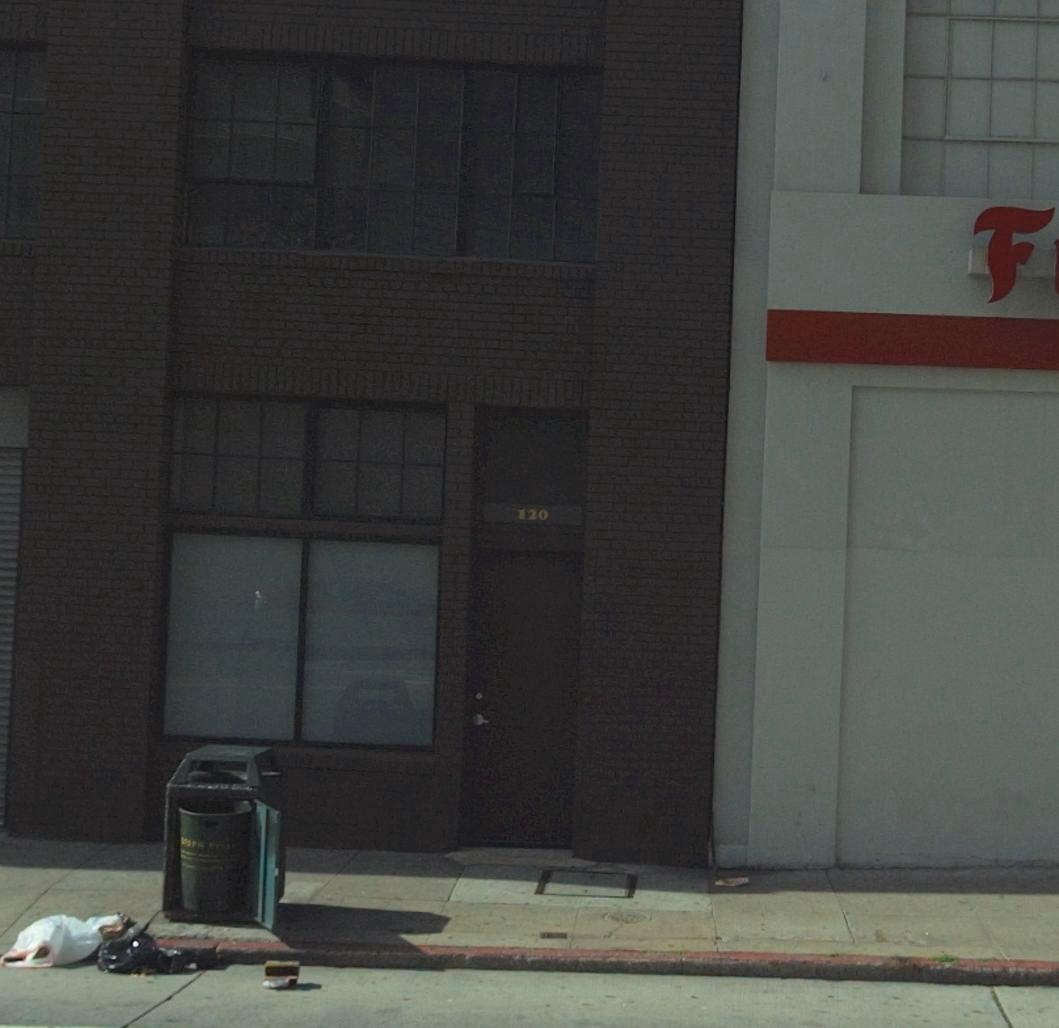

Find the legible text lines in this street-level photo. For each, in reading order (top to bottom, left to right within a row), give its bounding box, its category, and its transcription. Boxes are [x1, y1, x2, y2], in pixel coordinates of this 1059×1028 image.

[969, 199, 1059, 311] None: F
[514, 505, 552, 524] StreetNumber: 120